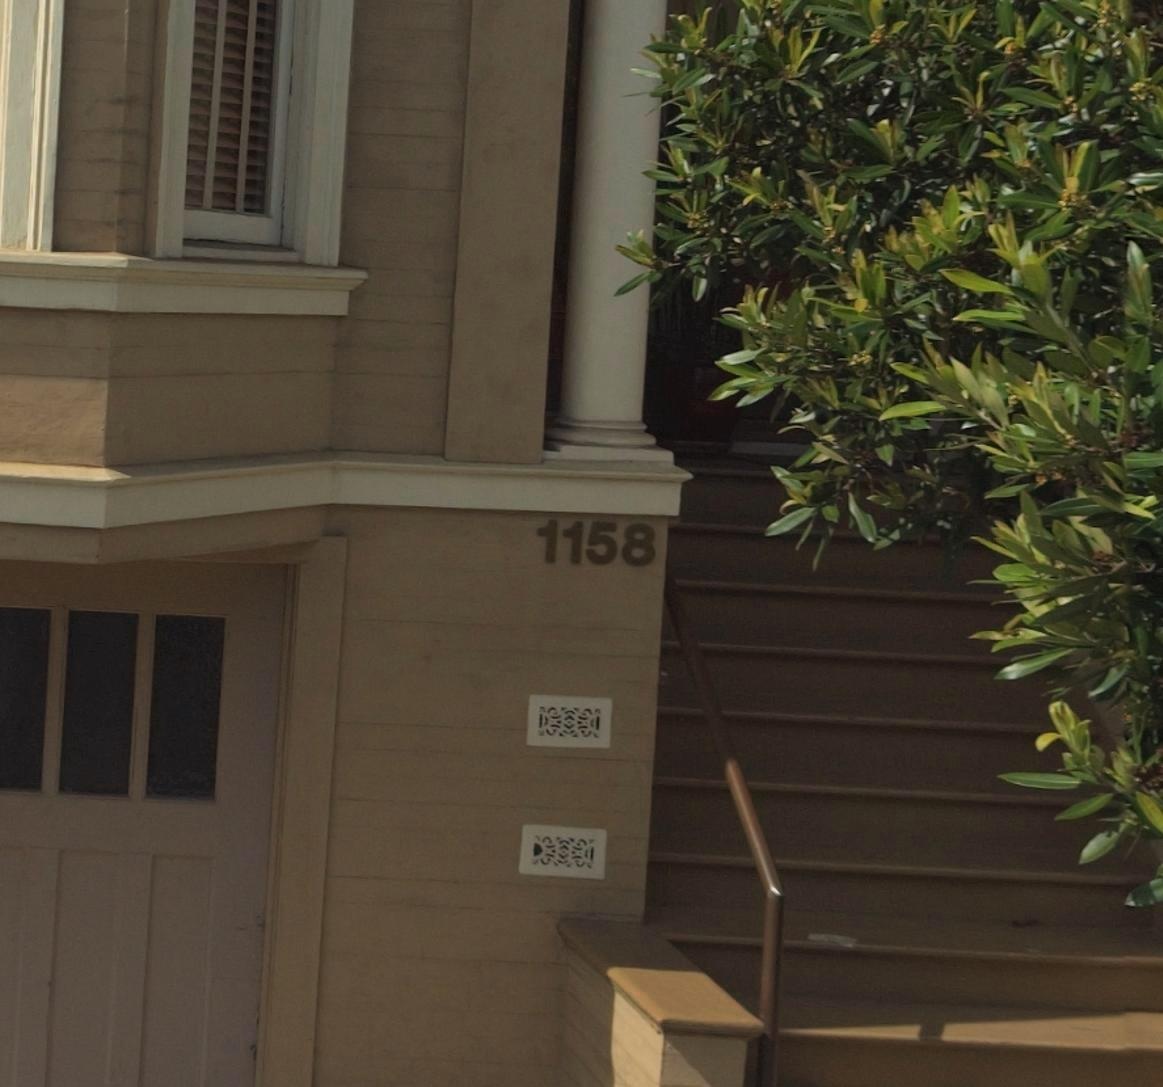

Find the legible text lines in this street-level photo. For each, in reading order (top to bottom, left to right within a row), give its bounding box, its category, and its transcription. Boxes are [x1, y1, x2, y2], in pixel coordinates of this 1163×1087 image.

[535, 516, 658, 569] StreetNumber: 1158